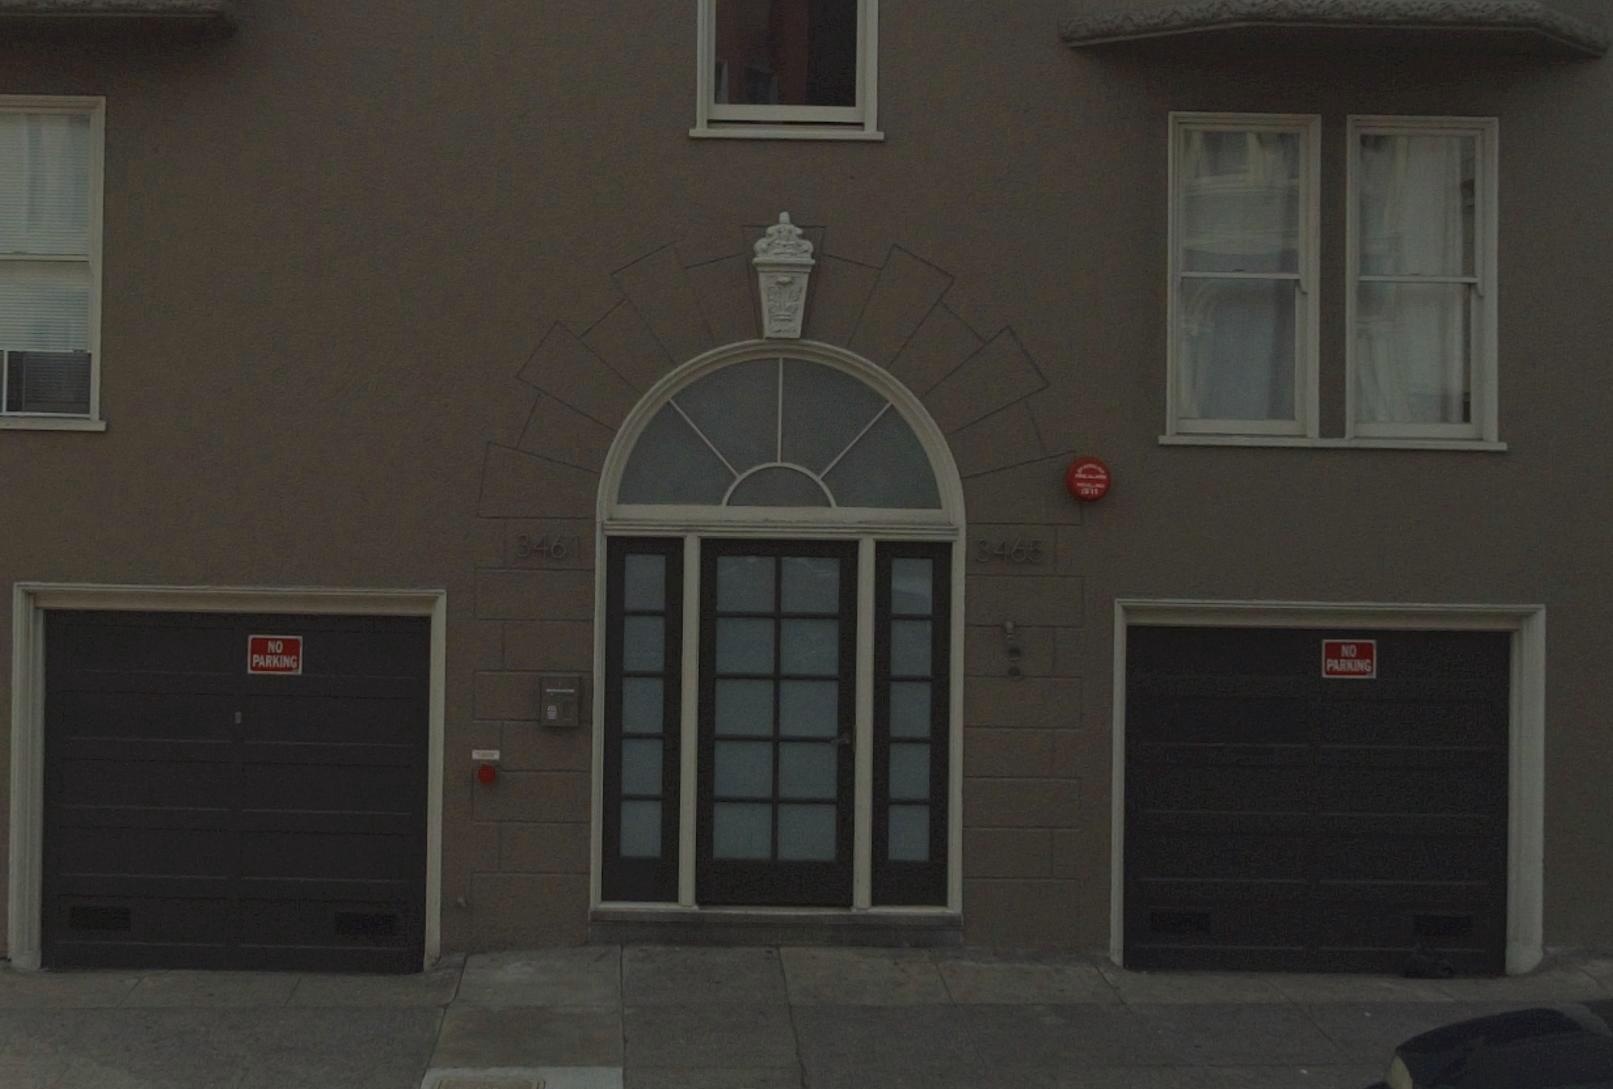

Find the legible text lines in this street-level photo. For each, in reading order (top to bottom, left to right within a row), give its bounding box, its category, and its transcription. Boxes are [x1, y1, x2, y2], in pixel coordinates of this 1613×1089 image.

[515, 532, 583, 560] StreetNumber: 3461
[974, 536, 1046, 564] StreetNumber: 3465
[266, 639, 284, 654] None: NO
[1340, 643, 1357, 658] None: NO
[251, 653, 299, 668] None: PARKING
[1326, 658, 1372, 673] None: PARKING